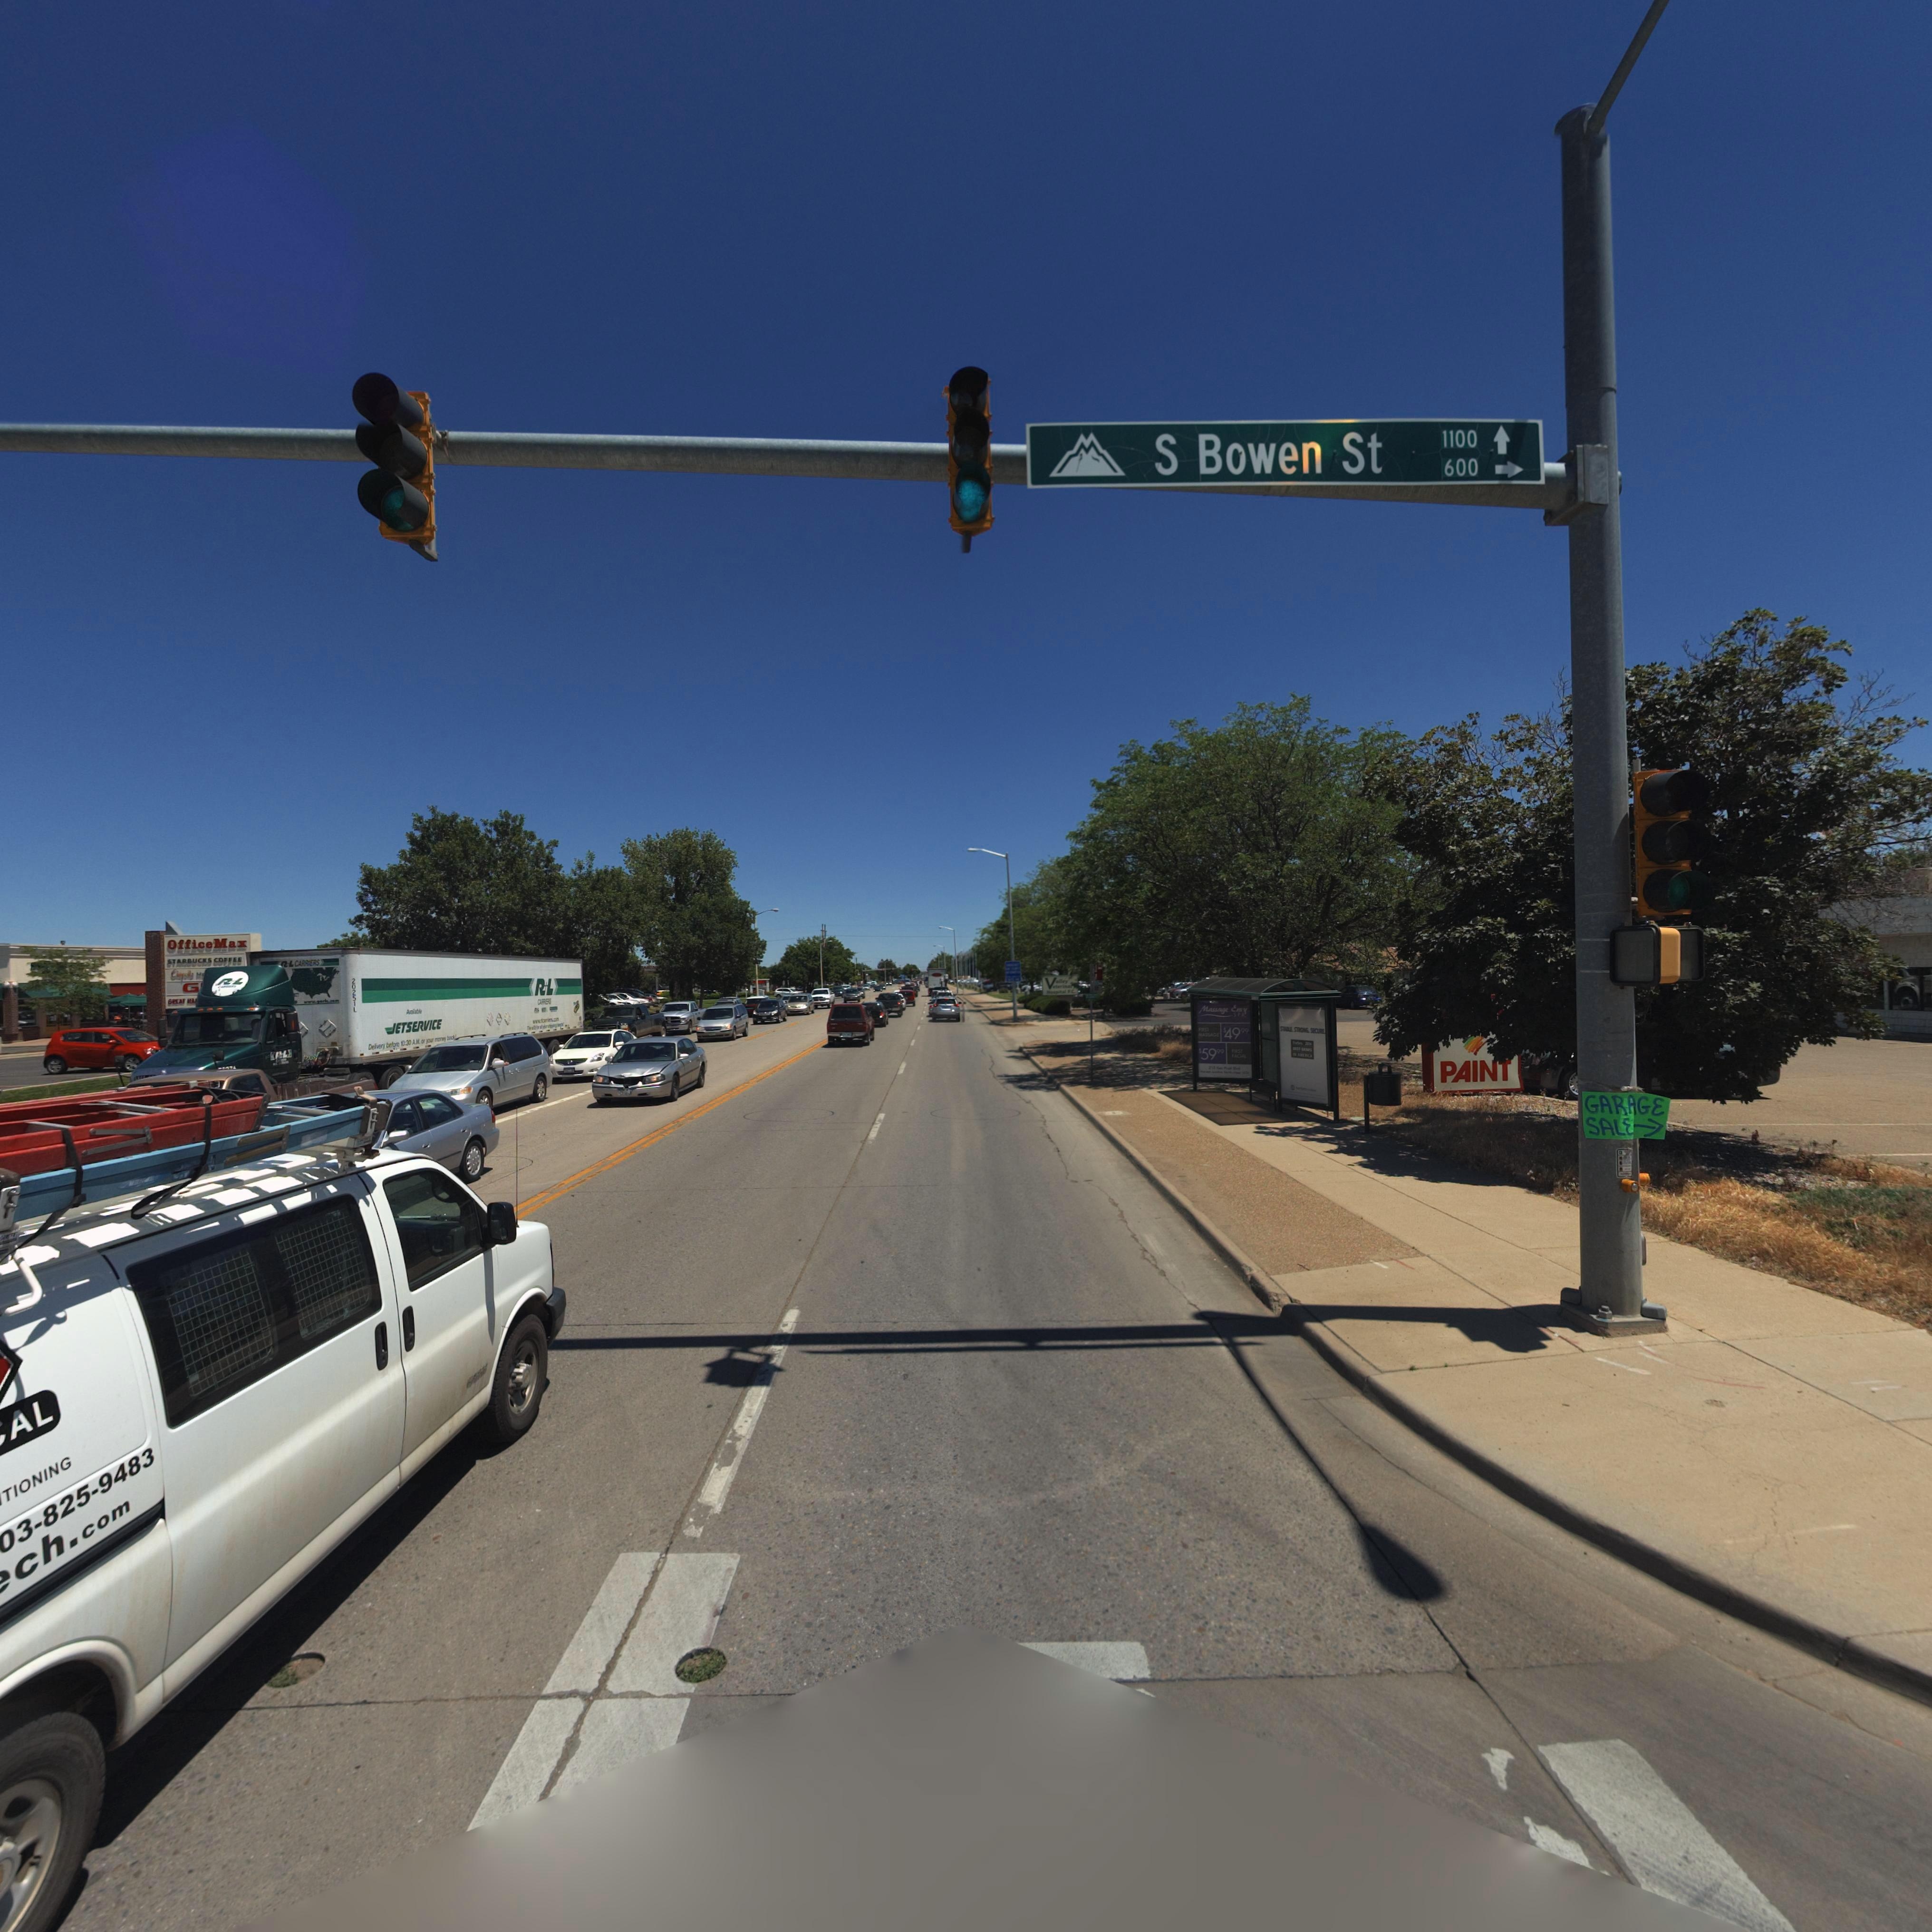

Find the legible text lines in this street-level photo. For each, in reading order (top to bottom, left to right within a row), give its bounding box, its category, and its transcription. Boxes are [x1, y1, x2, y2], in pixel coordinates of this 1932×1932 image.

[1441, 429, 1477, 448] StreetNumberRange: 1100
[1153, 432, 1383, 477] StreetName: S Bowen St
[1444, 457, 1526, 479] StreetNumberRange: 600->
[167, 938, 247, 949] BusinessName: OfficeMax
[167, 956, 242, 964] BusinessName: STARBUCKS COFFEE
[170, 969, 176, 978] BusinessName: C
[182, 982, 199, 993] BusinessName: G
[1044, 977, 1058, 990] BusinessName: V
[1054, 978, 1068, 984] BusinessName: alley
[168, 998, 191, 1004] BusinessName: GREAT H
[1439, 1059, 1512, 1083] BusinessName: PAINT